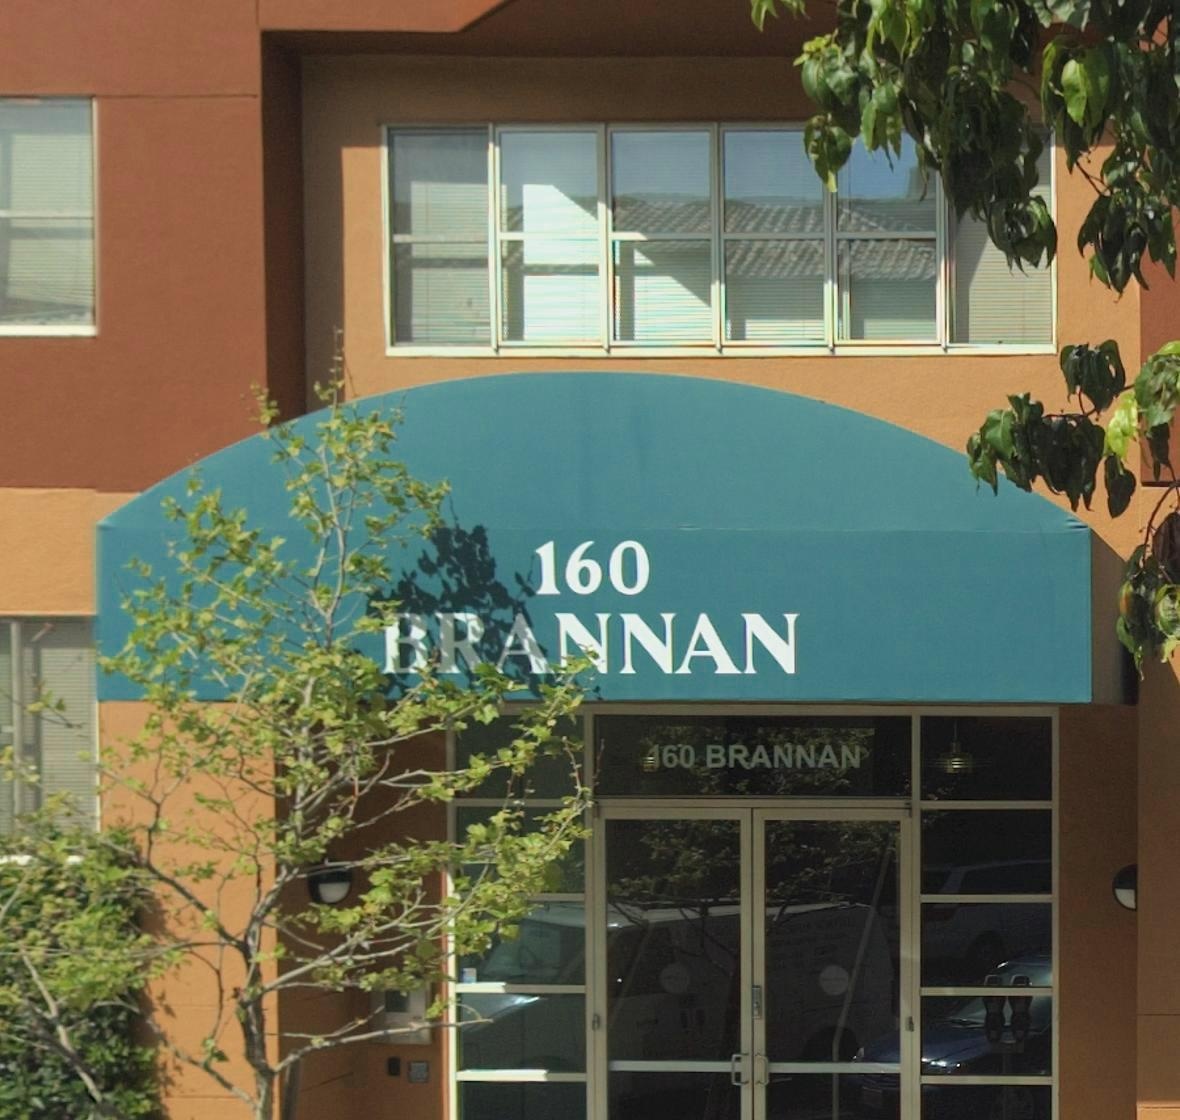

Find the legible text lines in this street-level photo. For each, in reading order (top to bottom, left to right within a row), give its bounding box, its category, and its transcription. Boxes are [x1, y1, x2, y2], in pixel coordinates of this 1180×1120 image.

[530, 535, 654, 601] StreetNumber: 160
[376, 606, 804, 682] StreetName: BRANNAN
[647, 741, 698, 773] StreetNumber: 160
[702, 739, 866, 774] StreetName: BRANNAN